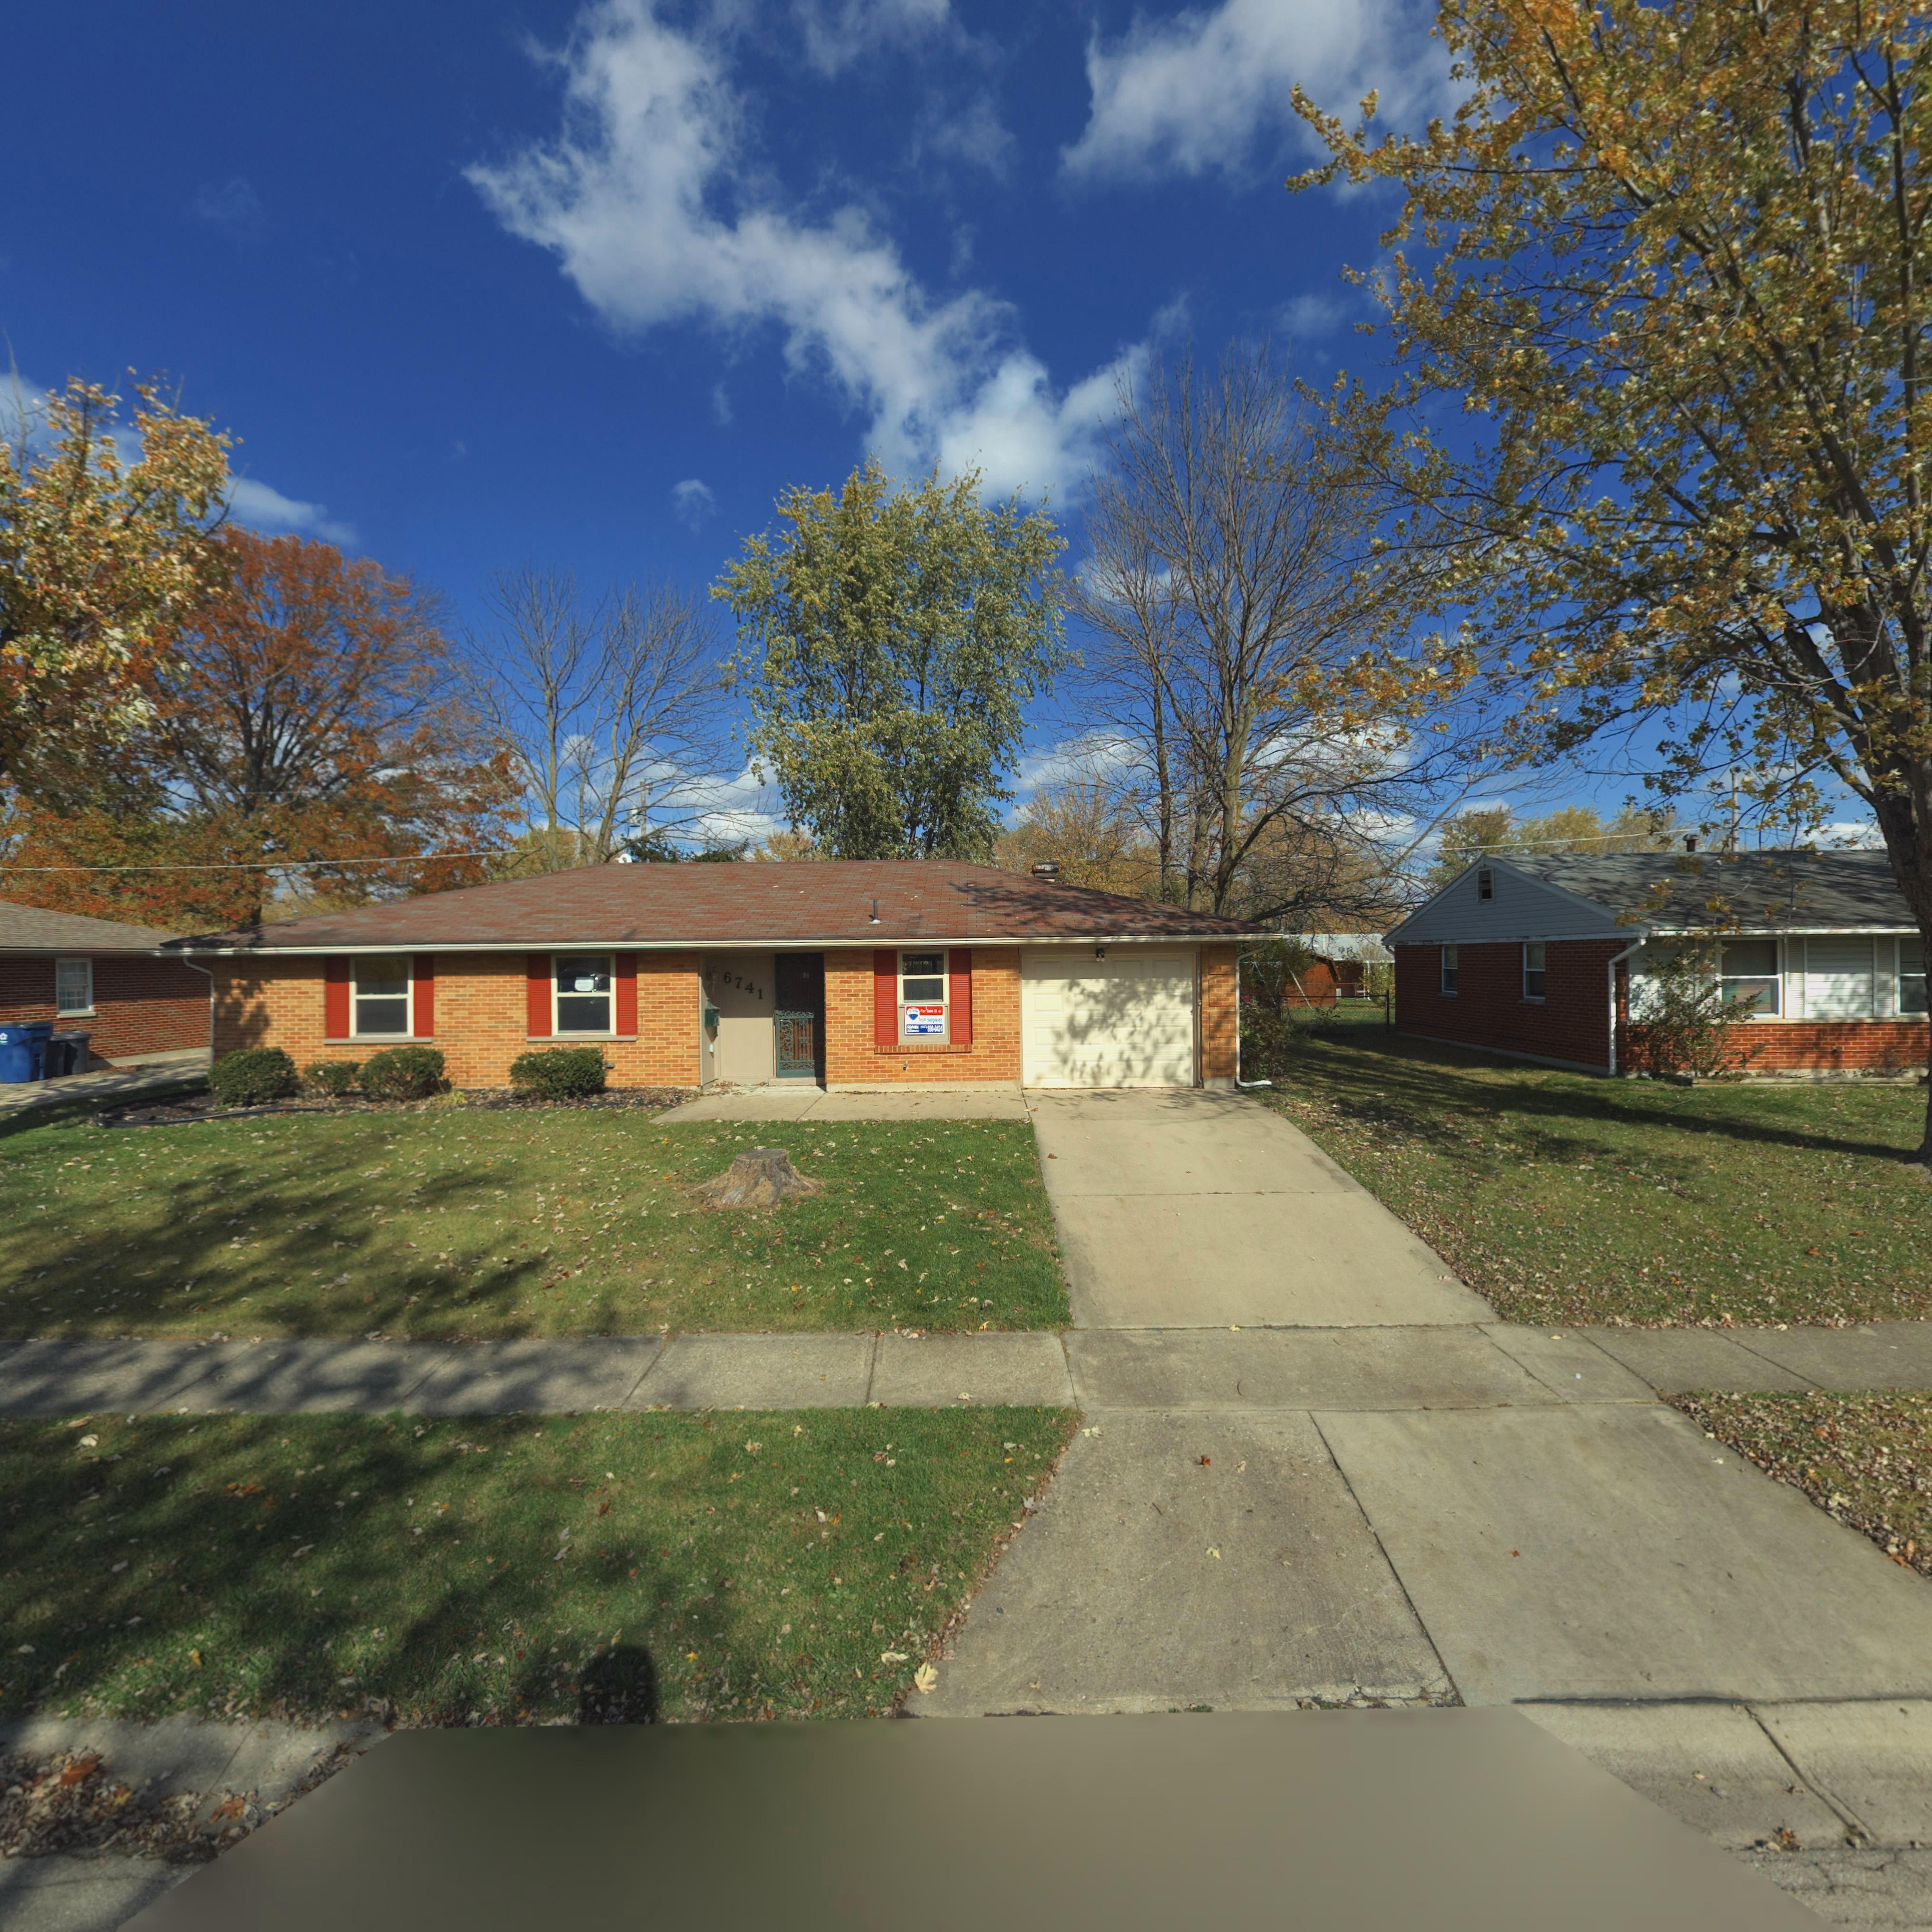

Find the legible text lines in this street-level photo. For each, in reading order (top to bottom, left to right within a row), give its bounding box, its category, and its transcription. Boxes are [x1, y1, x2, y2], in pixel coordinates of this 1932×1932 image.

[723, 971, 763, 1000] StreetNumber: 6741